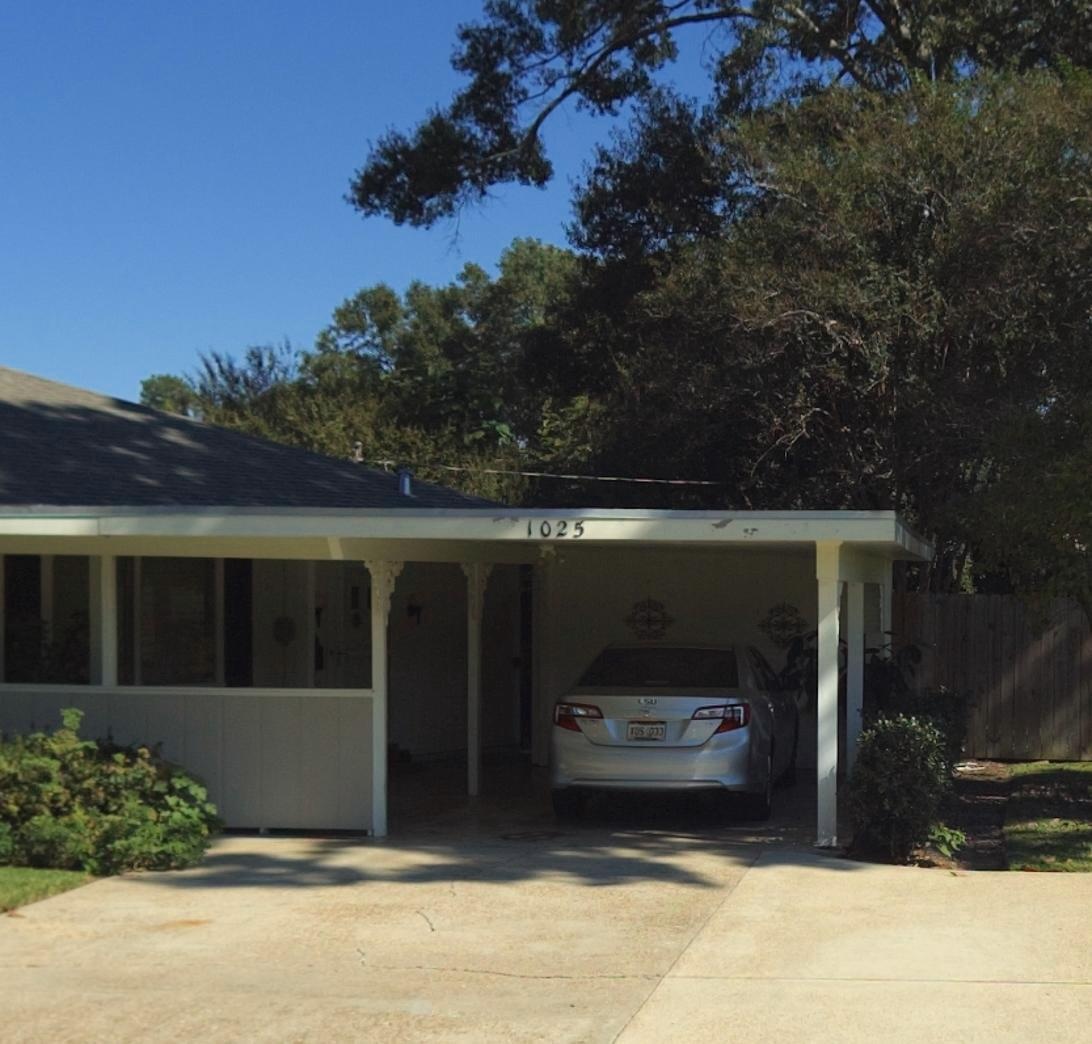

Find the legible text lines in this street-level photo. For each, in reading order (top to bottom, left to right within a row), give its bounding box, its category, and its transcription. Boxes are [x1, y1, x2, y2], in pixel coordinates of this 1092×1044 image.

[526, 517, 587, 539] StreetNumber: 1025
[628, 723, 665, 739] None: *DS 033